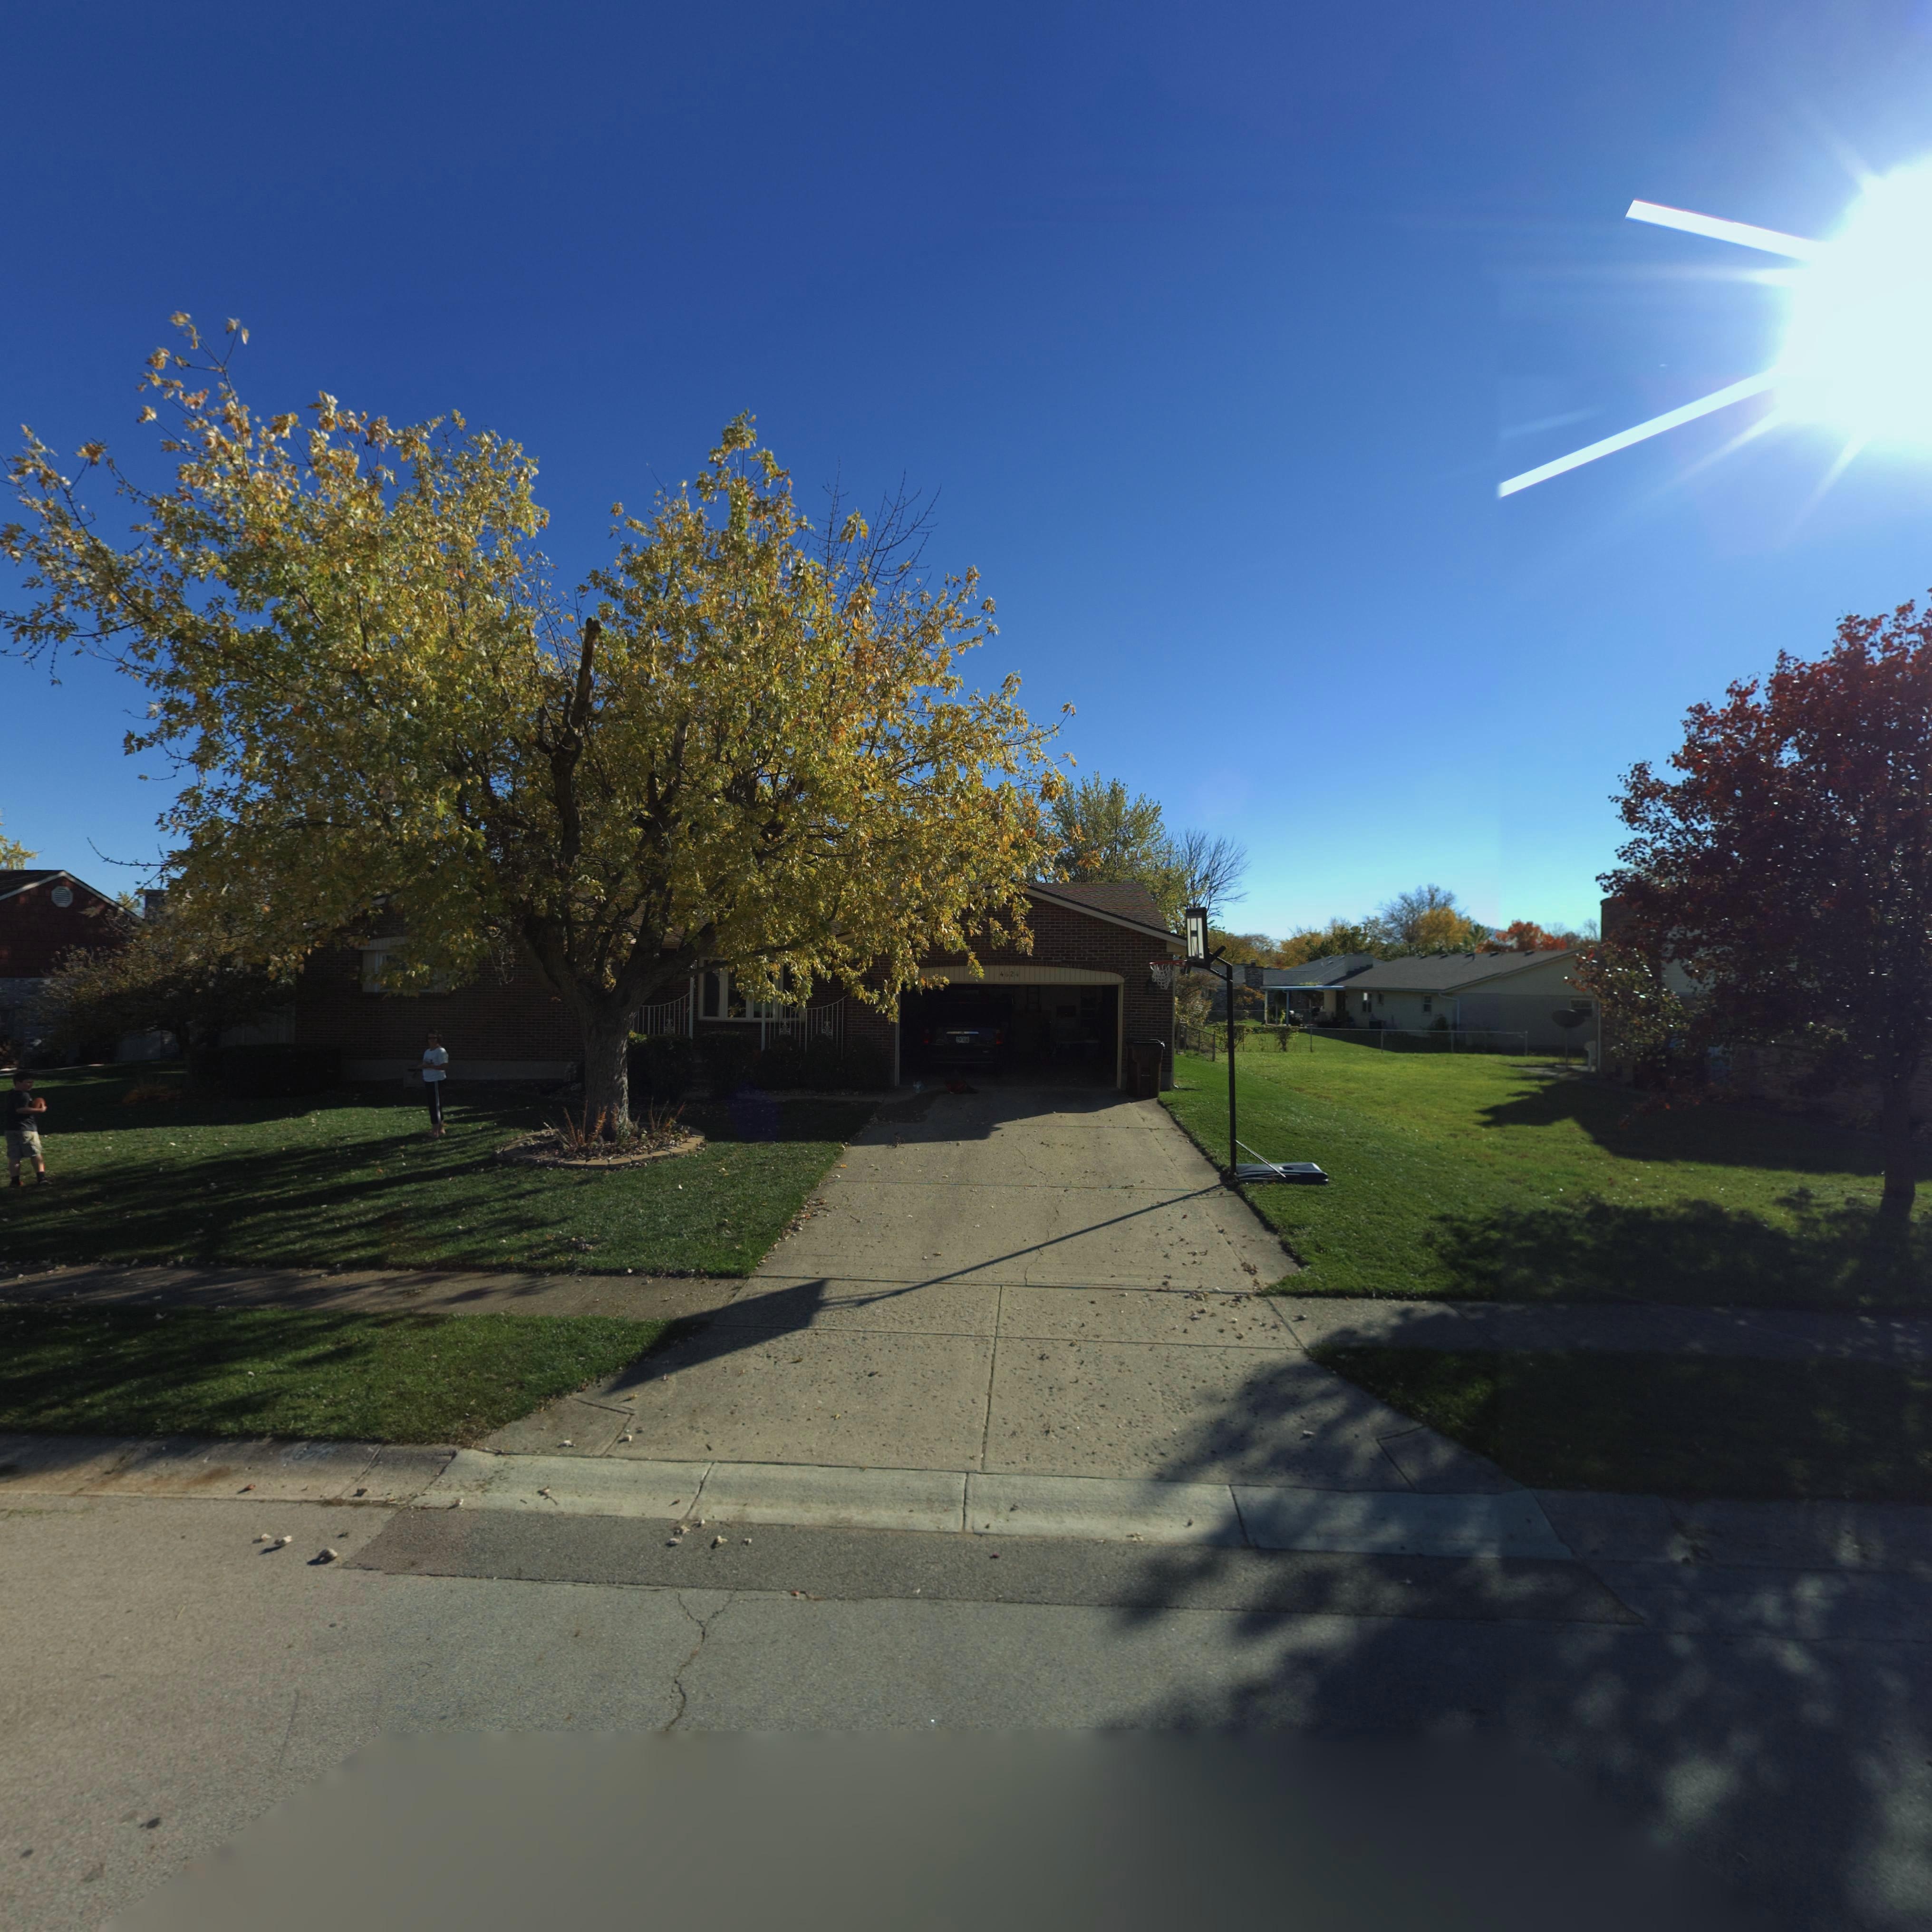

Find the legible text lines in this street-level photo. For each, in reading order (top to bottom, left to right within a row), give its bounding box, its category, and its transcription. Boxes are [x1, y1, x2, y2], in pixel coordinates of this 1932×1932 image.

[999, 970, 1019, 977] StreetNumber: 4624